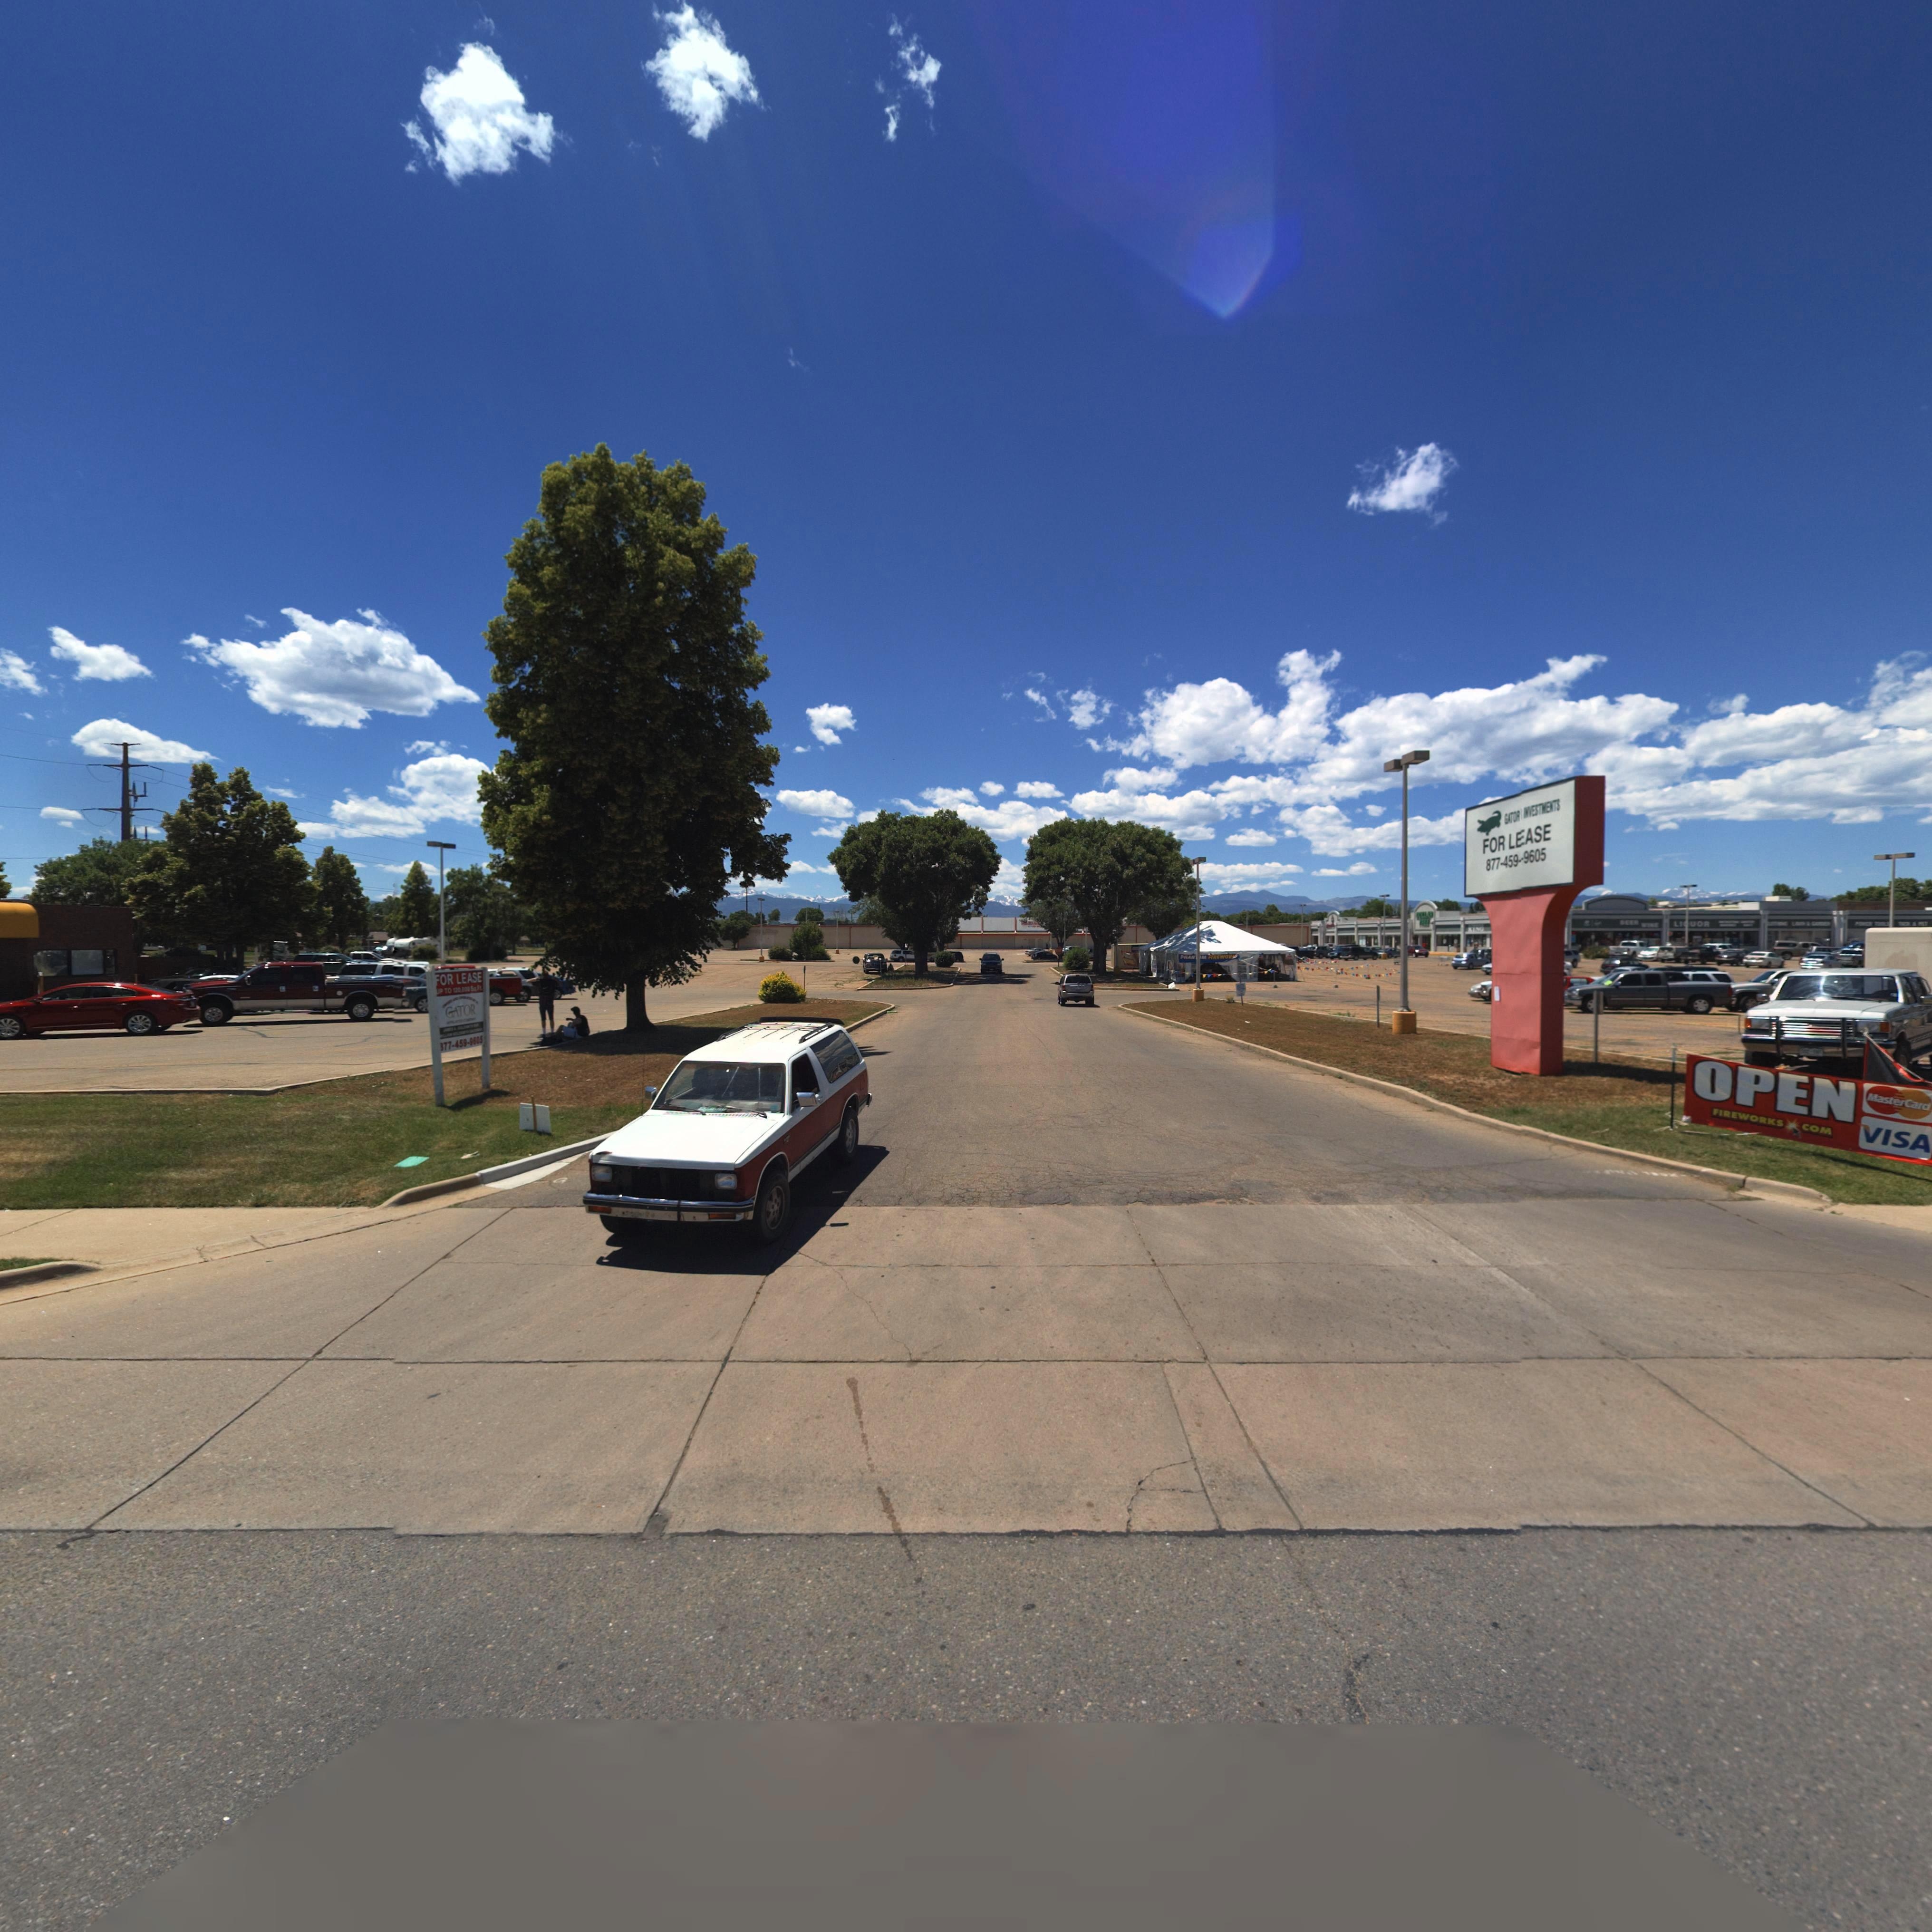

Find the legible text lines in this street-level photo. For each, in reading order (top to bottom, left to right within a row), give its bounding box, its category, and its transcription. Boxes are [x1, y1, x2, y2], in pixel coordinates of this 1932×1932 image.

[1416, 911, 1432, 918] BusinessName: **LL**
[1419, 919, 1429, 925] BusinessName: **EE